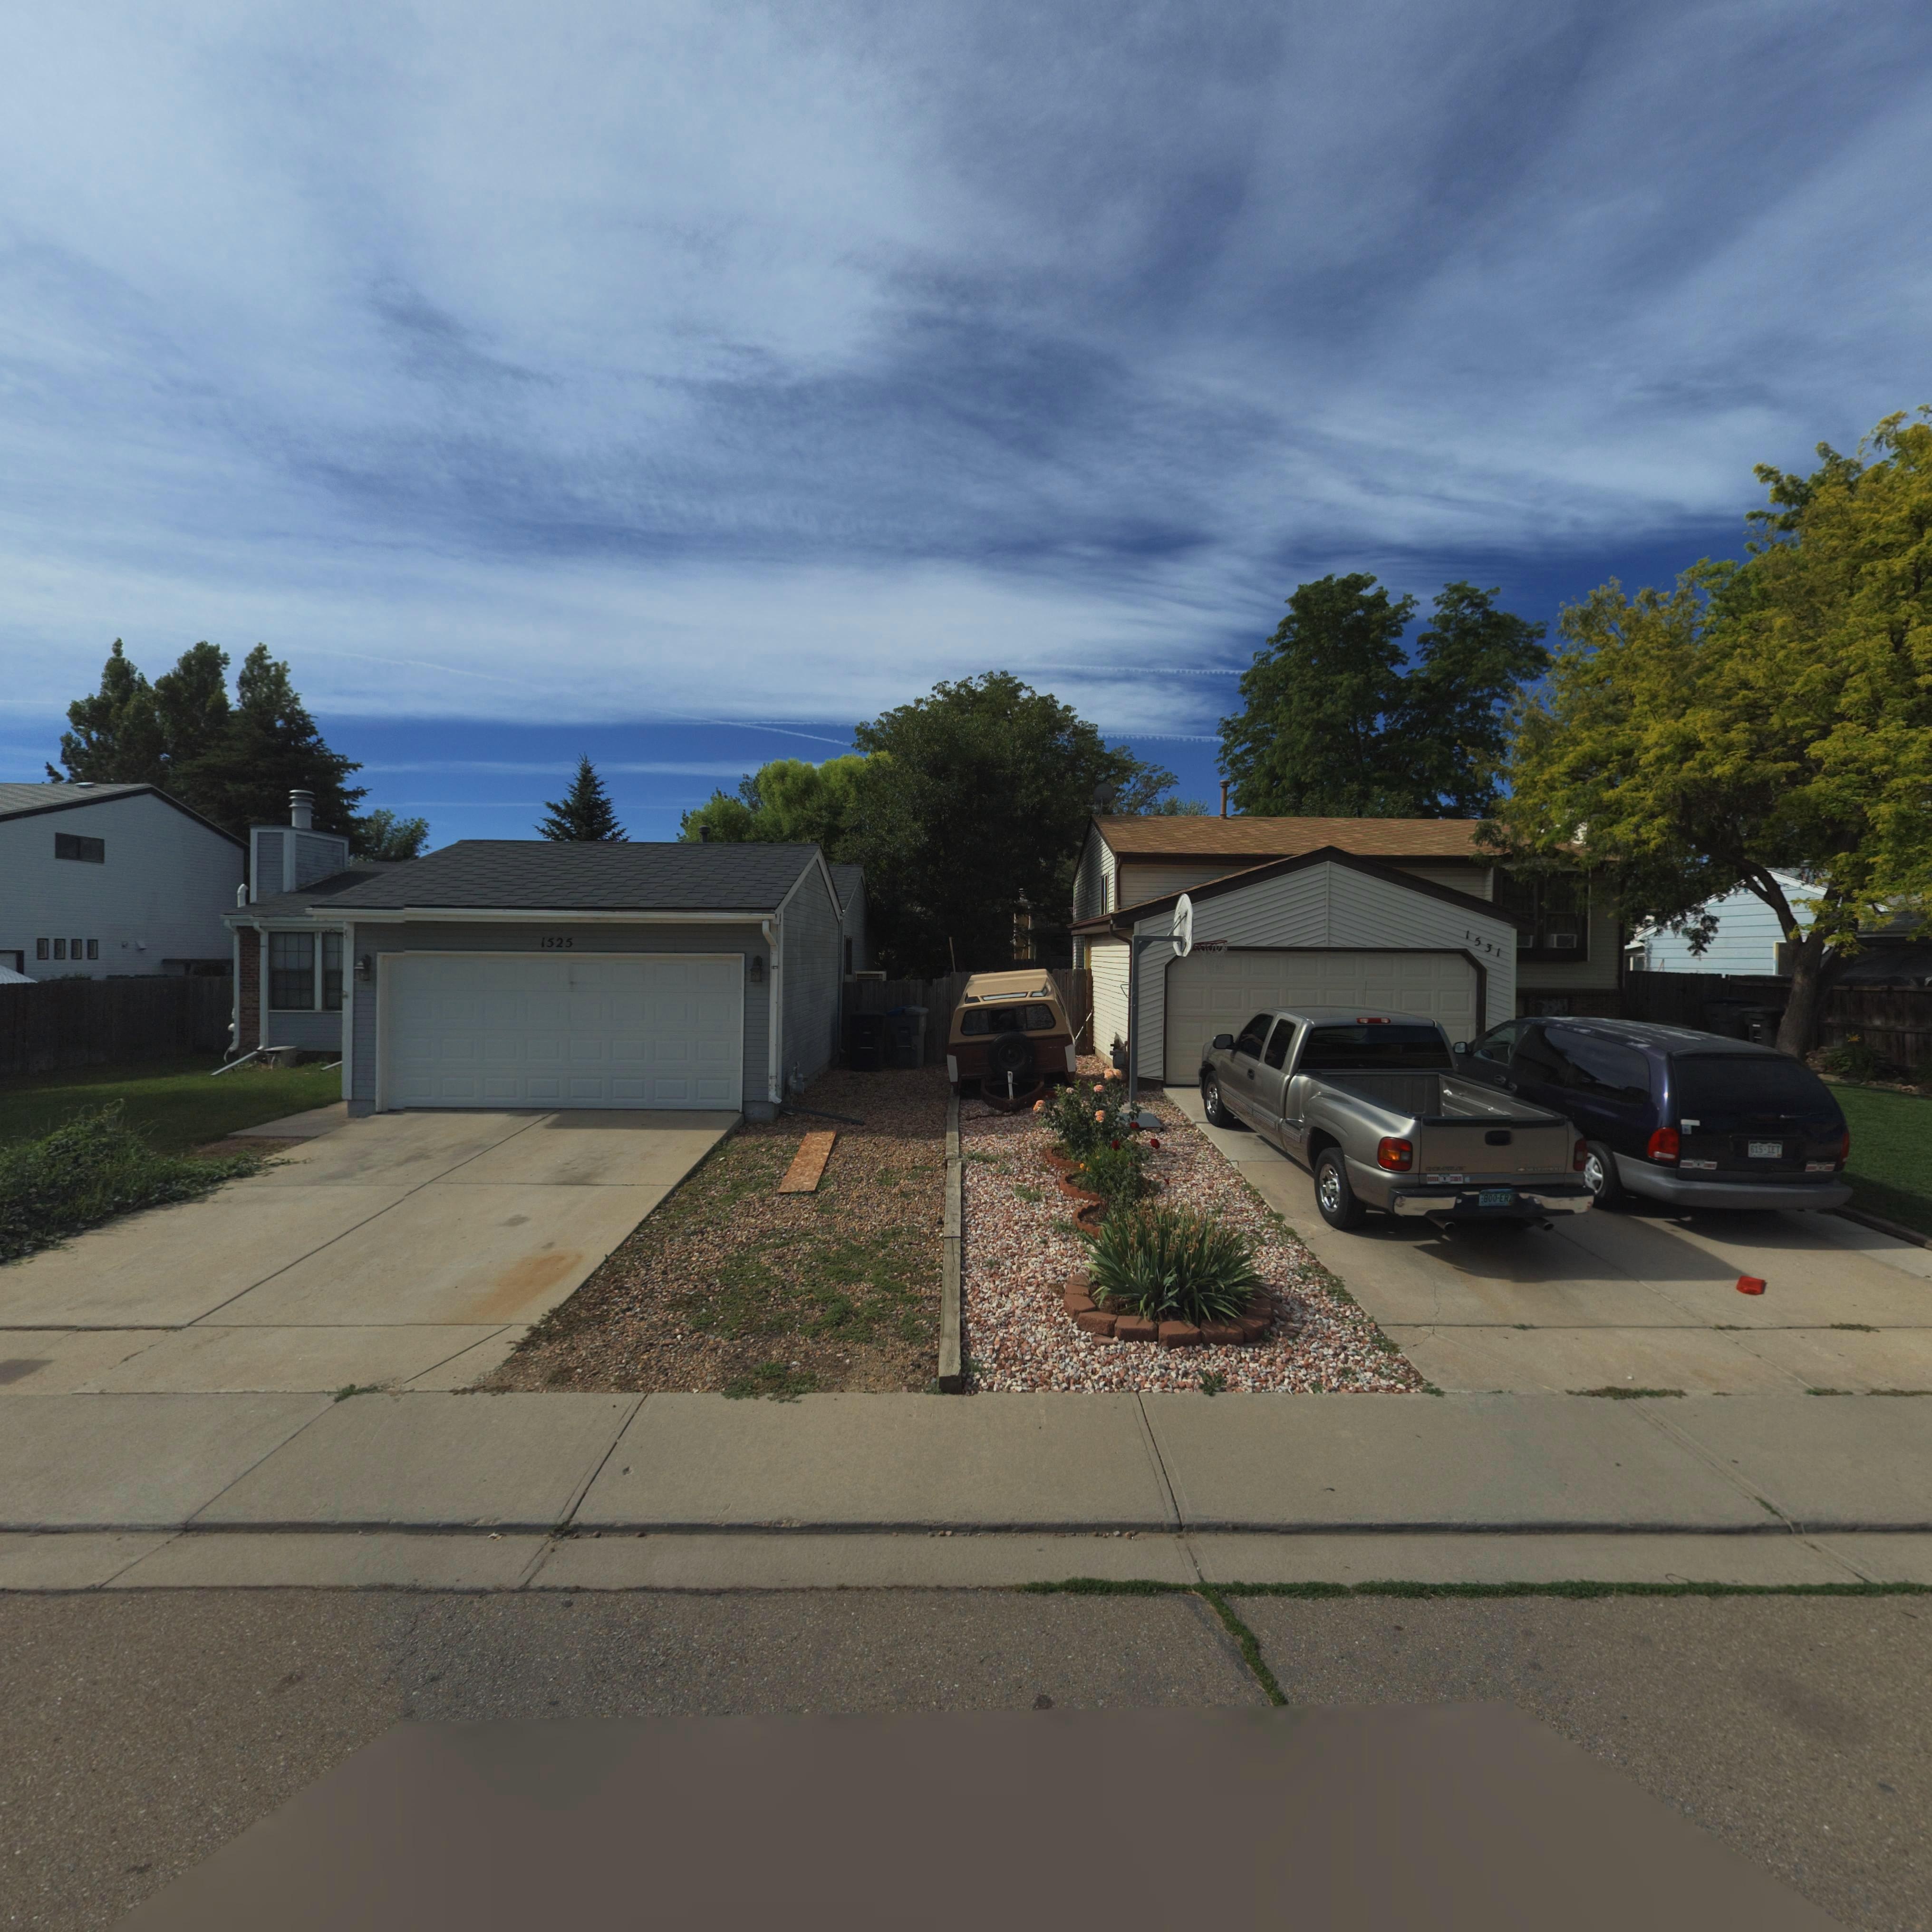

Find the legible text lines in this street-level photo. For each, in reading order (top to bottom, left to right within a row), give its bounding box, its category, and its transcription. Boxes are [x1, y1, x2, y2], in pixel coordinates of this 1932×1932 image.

[540, 936, 573, 948] StreetNumber: 1525
[1465, 928, 1501, 958] StreetNumber: 1531